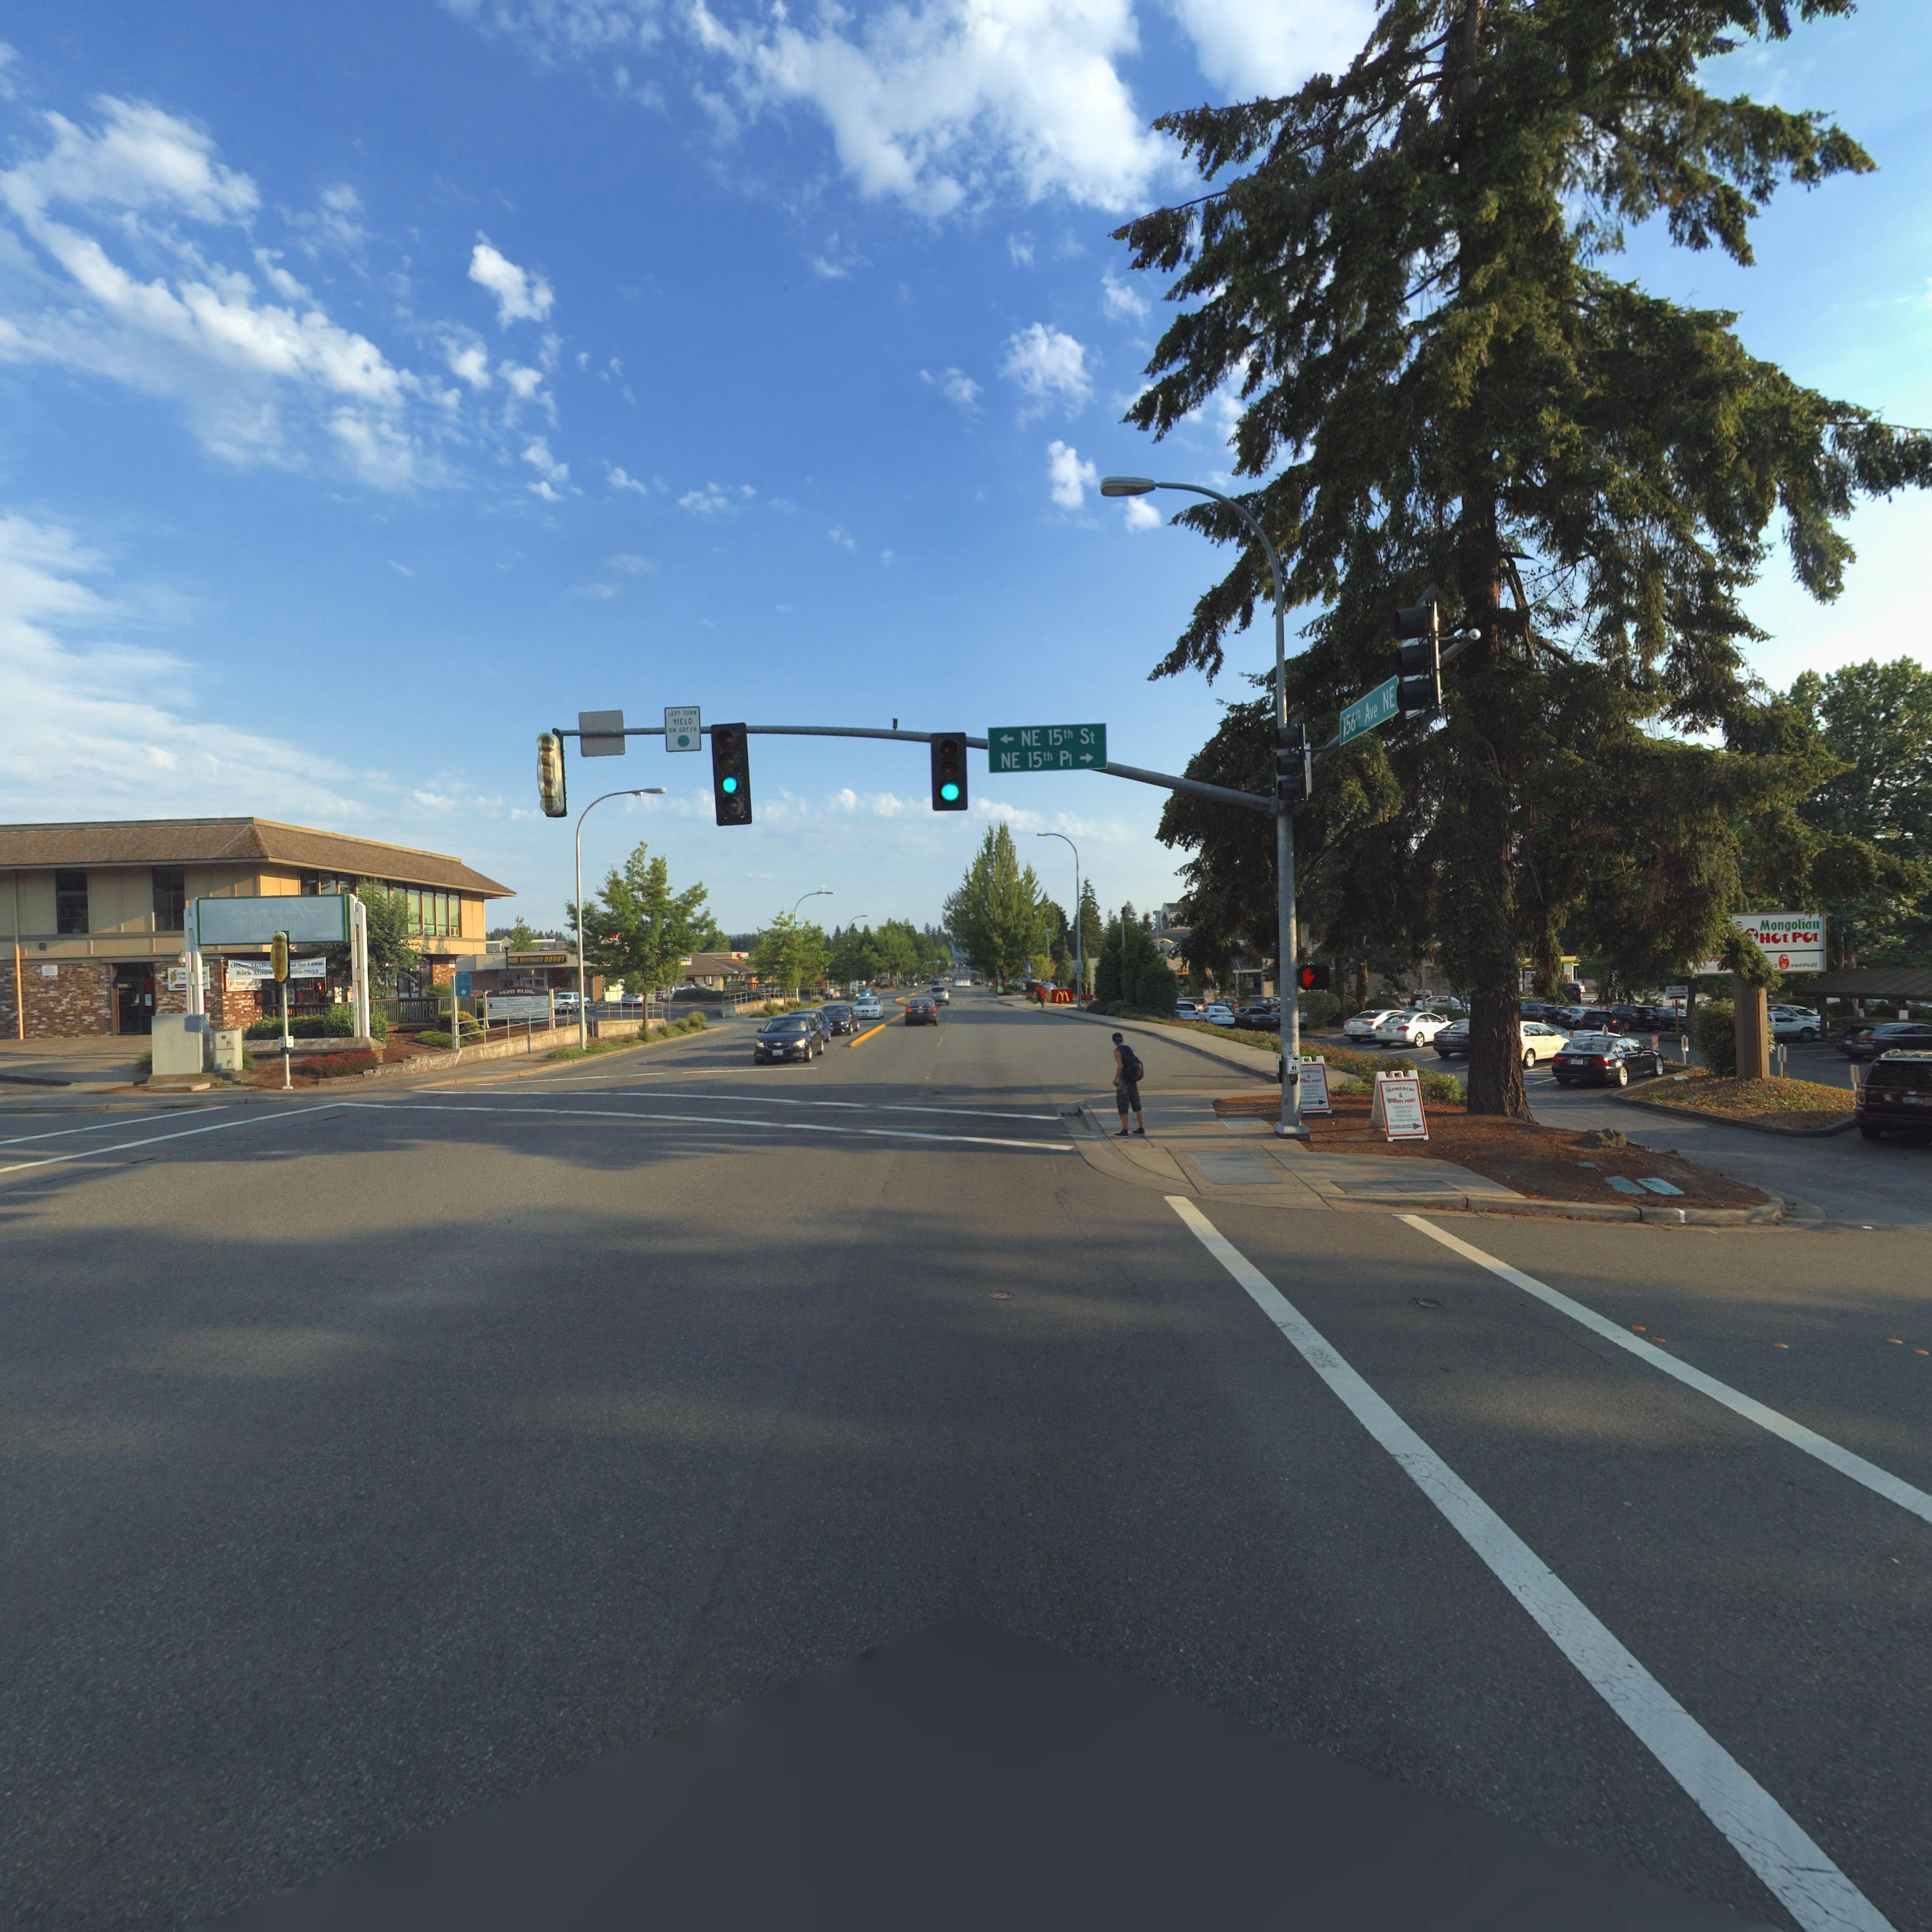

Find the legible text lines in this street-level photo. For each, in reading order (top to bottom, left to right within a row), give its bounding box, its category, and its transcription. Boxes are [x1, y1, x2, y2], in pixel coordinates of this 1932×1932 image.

[1343, 684, 1396, 737] StreetName: 156th Ave NE
[1020, 728, 1097, 746] StreetName: NE 15th St
[999, 749, 1072, 770] StreetName: NE 15th Pl
[1760, 919, 1819, 932] BusinessName: Mongolian
[1758, 932, 1819, 944] BusinessName: H*t P*t
[543, 955, 565, 962] BusinessName: DONUT
[498, 989, 515, 995] StreetNumber: 1420